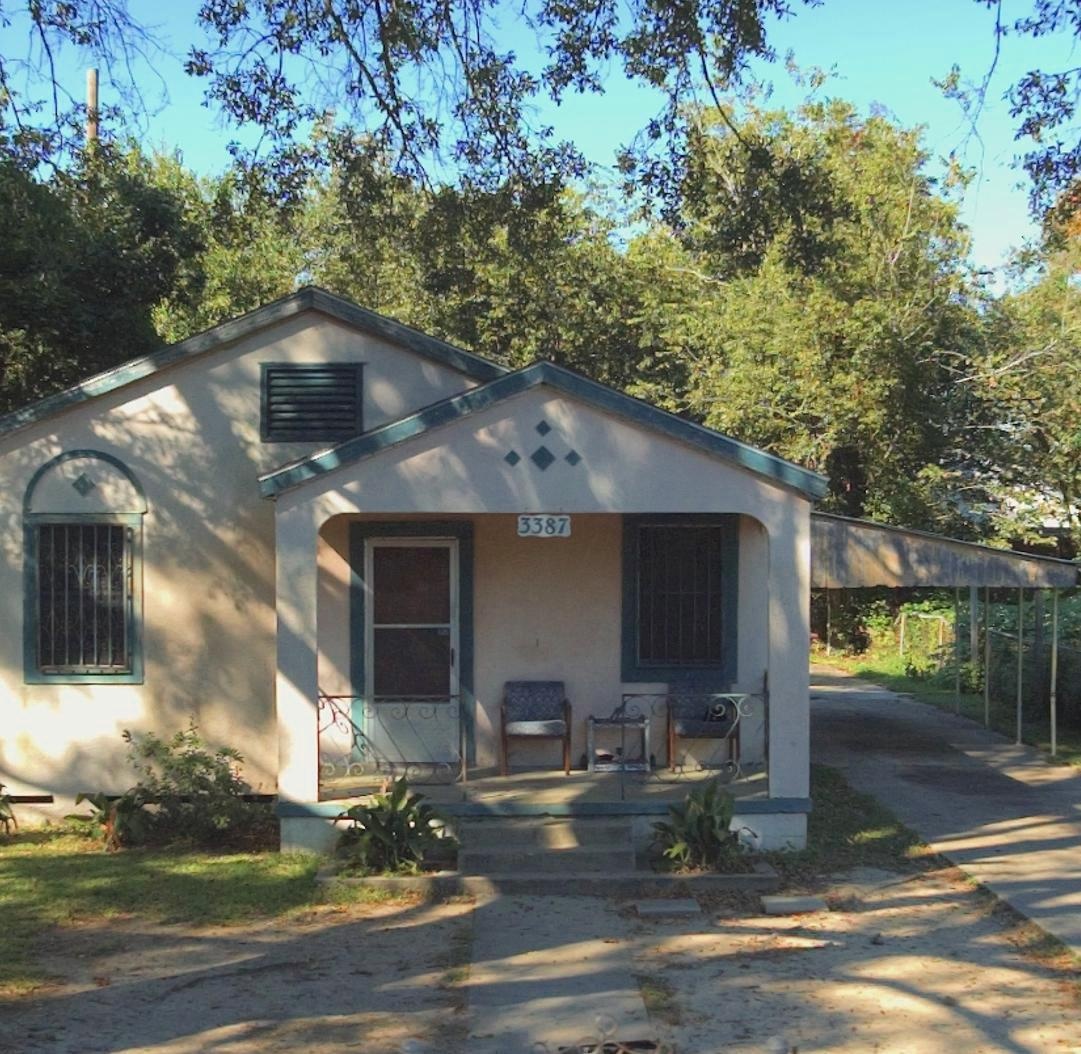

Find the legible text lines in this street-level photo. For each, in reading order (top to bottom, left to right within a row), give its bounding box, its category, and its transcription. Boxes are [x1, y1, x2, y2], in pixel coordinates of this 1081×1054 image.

[517, 516, 569, 535] StreetNumber: 3387